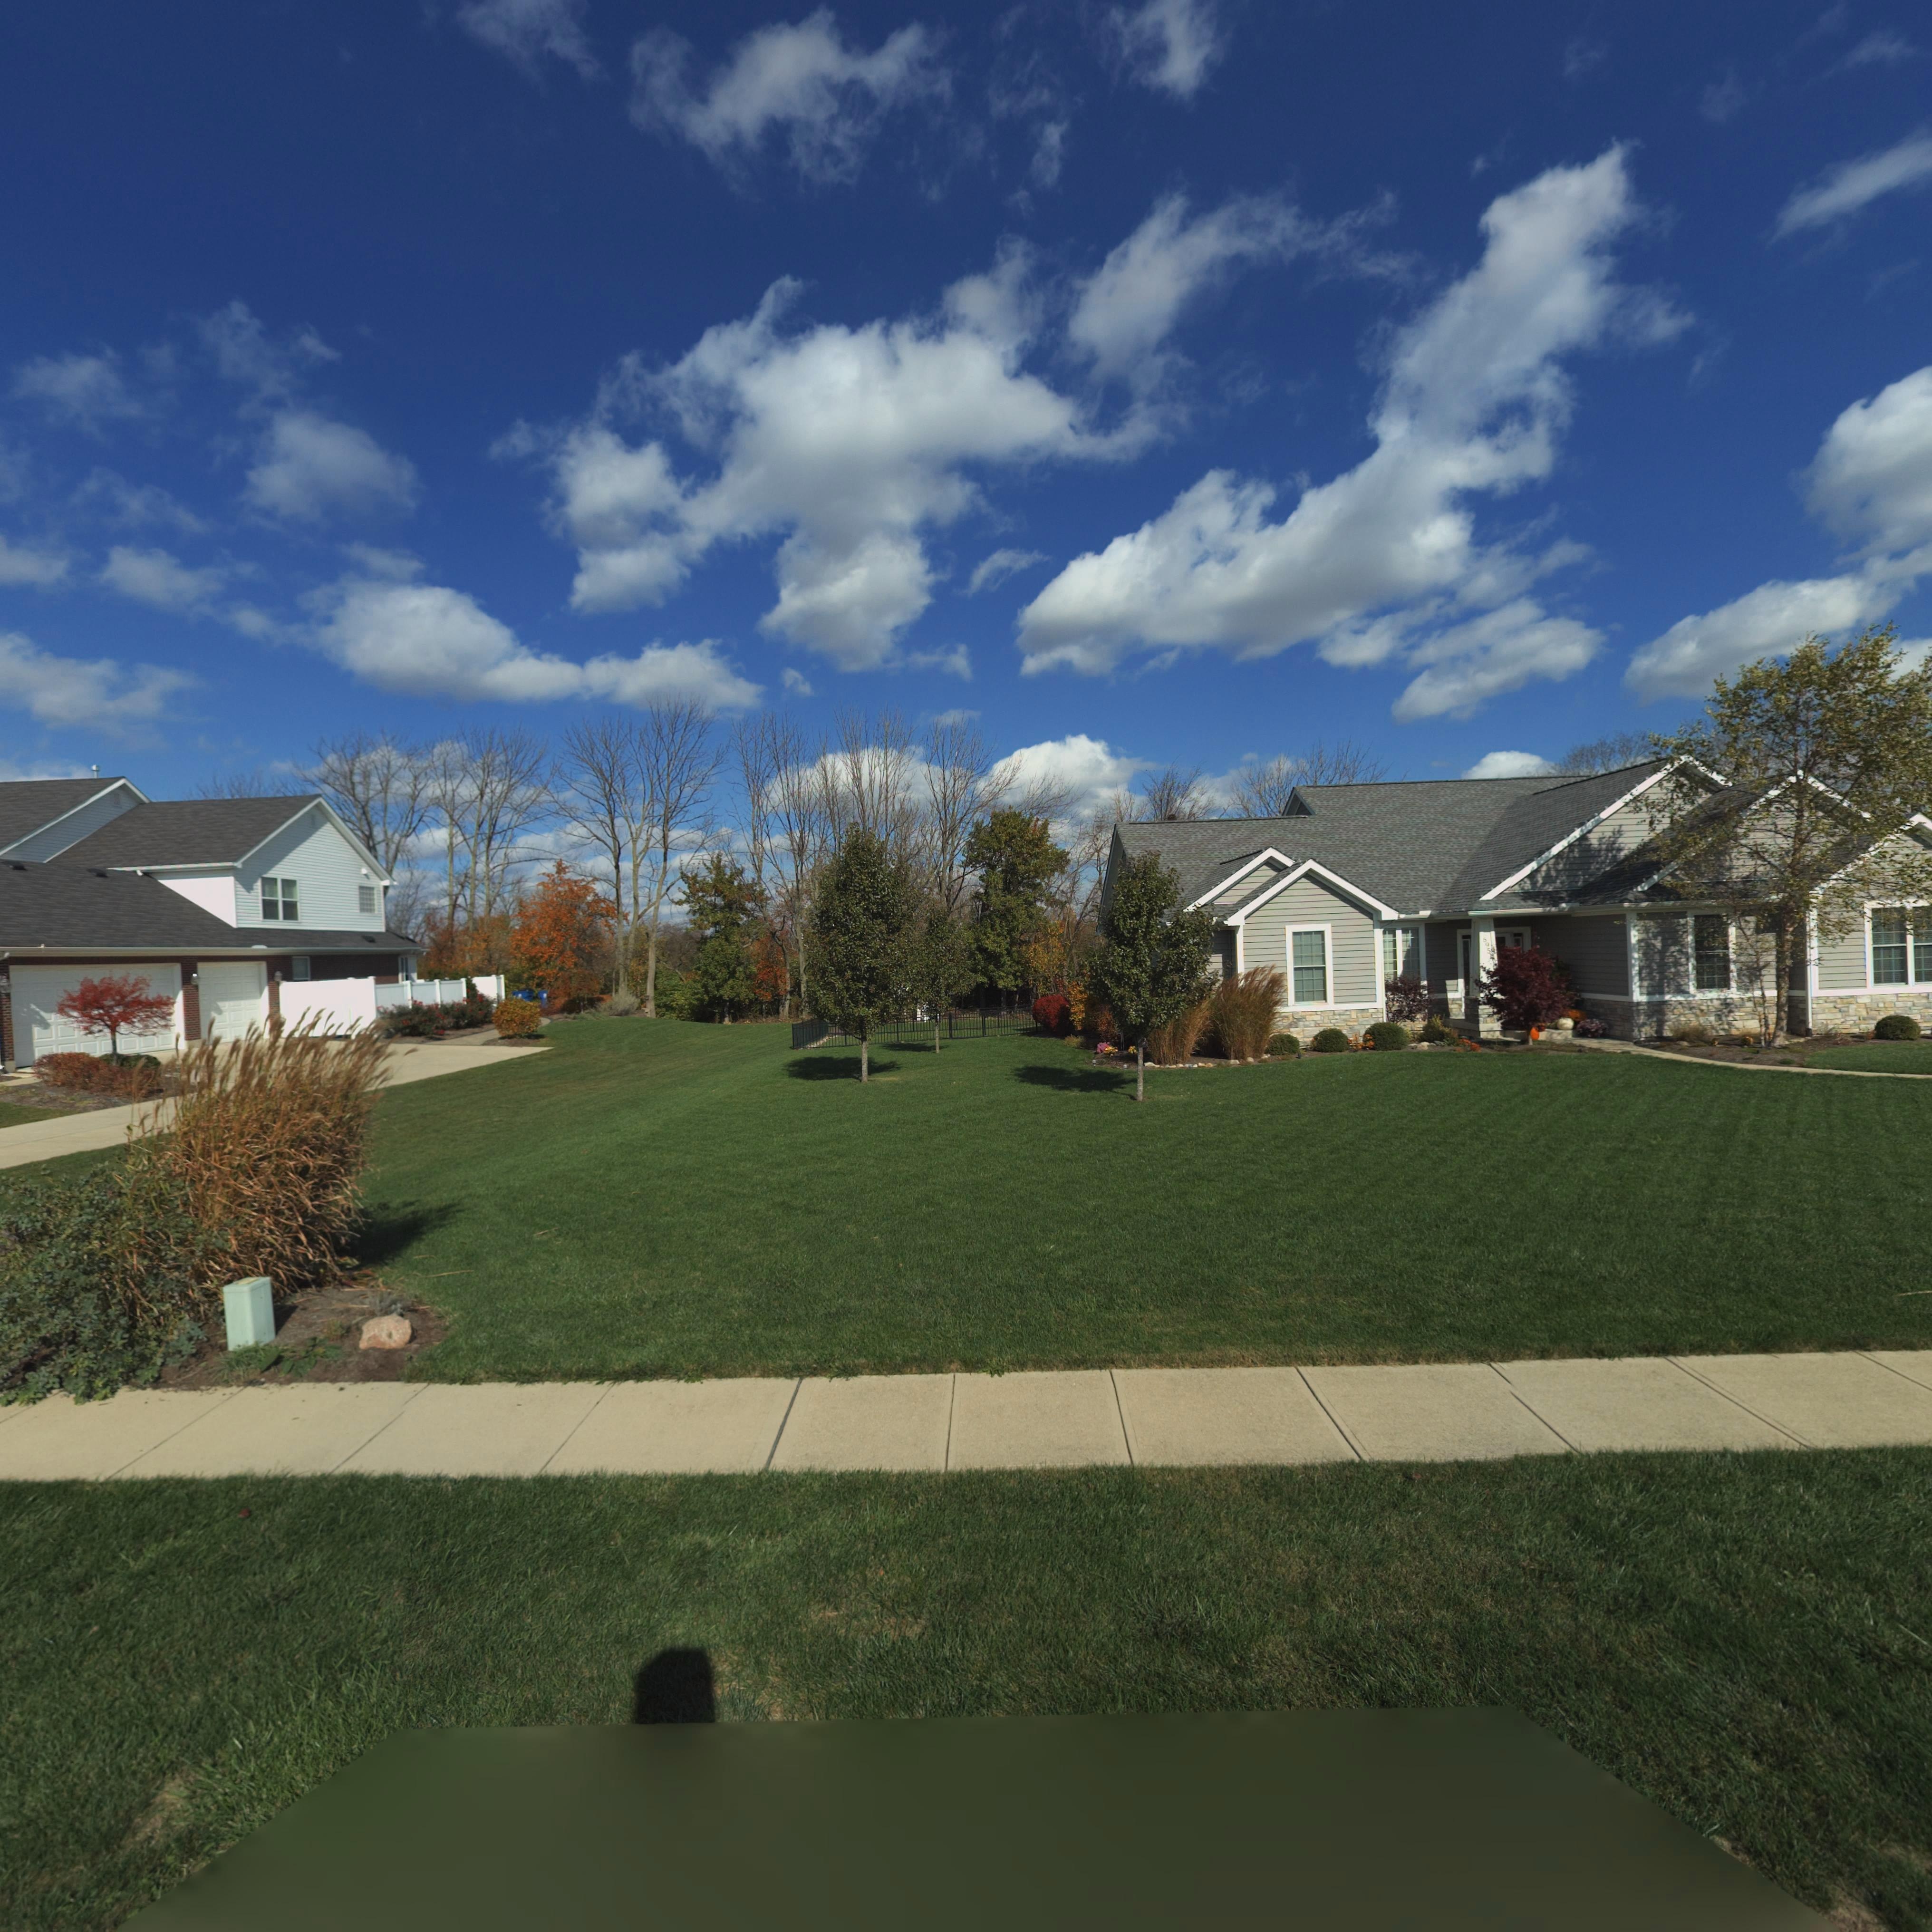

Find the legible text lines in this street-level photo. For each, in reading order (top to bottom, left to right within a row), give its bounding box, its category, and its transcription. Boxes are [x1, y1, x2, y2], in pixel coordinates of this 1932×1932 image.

[1482, 936, 1491, 955] StreetNumber: 695